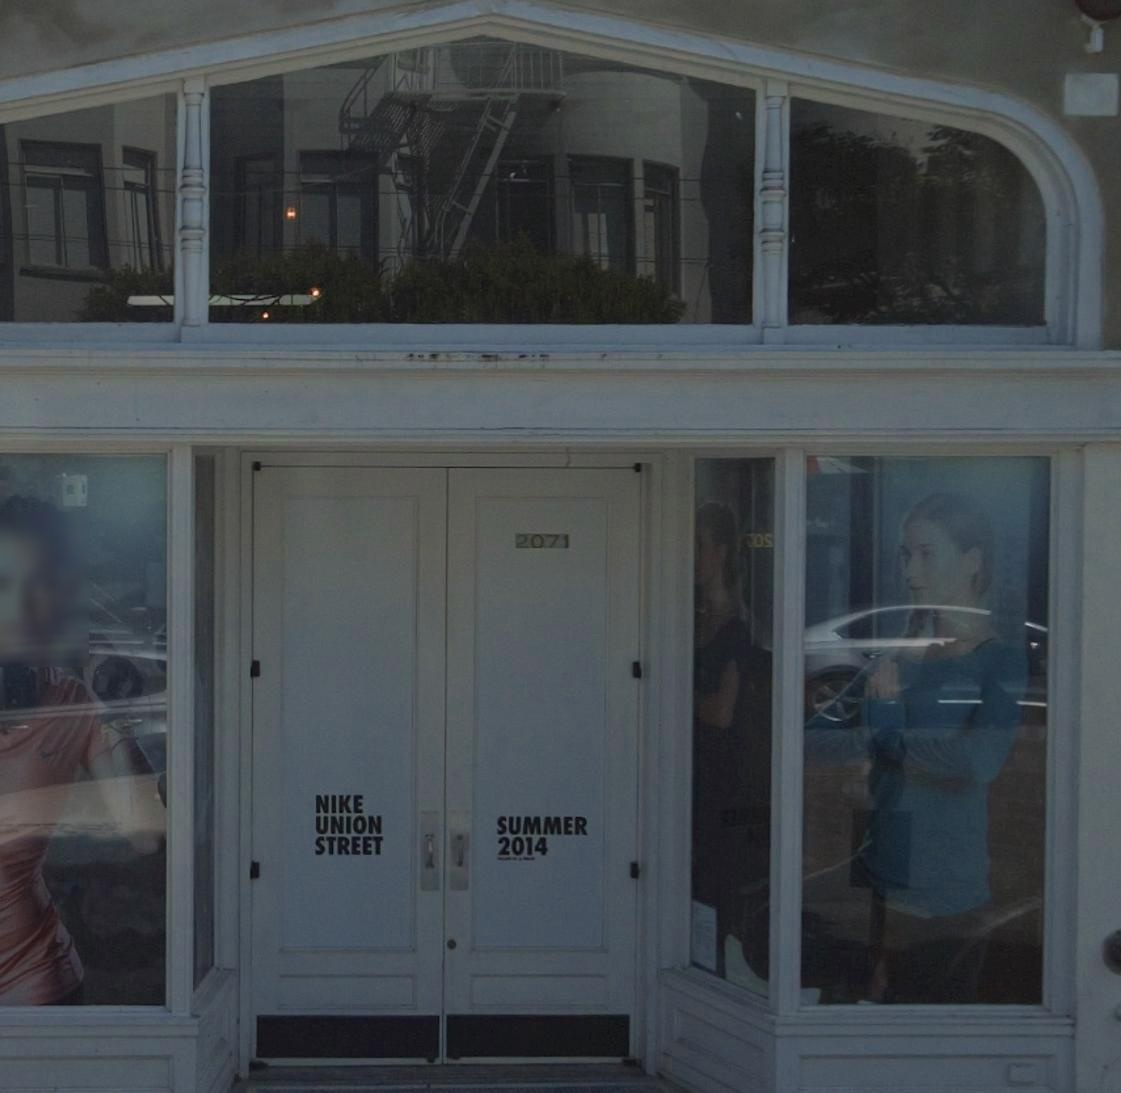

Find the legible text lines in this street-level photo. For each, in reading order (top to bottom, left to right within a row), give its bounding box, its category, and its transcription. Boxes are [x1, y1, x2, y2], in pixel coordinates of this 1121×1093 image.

[515, 534, 569, 548] StreetNumber: 2071
[743, 532, 774, 549] None: *0*
[315, 794, 364, 814] BusinessName: NIKE
[316, 815, 382, 835] StreetName: UNION
[496, 816, 588, 835] None: SUMMER
[315, 836, 384, 855] StreetName: STREET
[498, 836, 549, 856] None: 2014